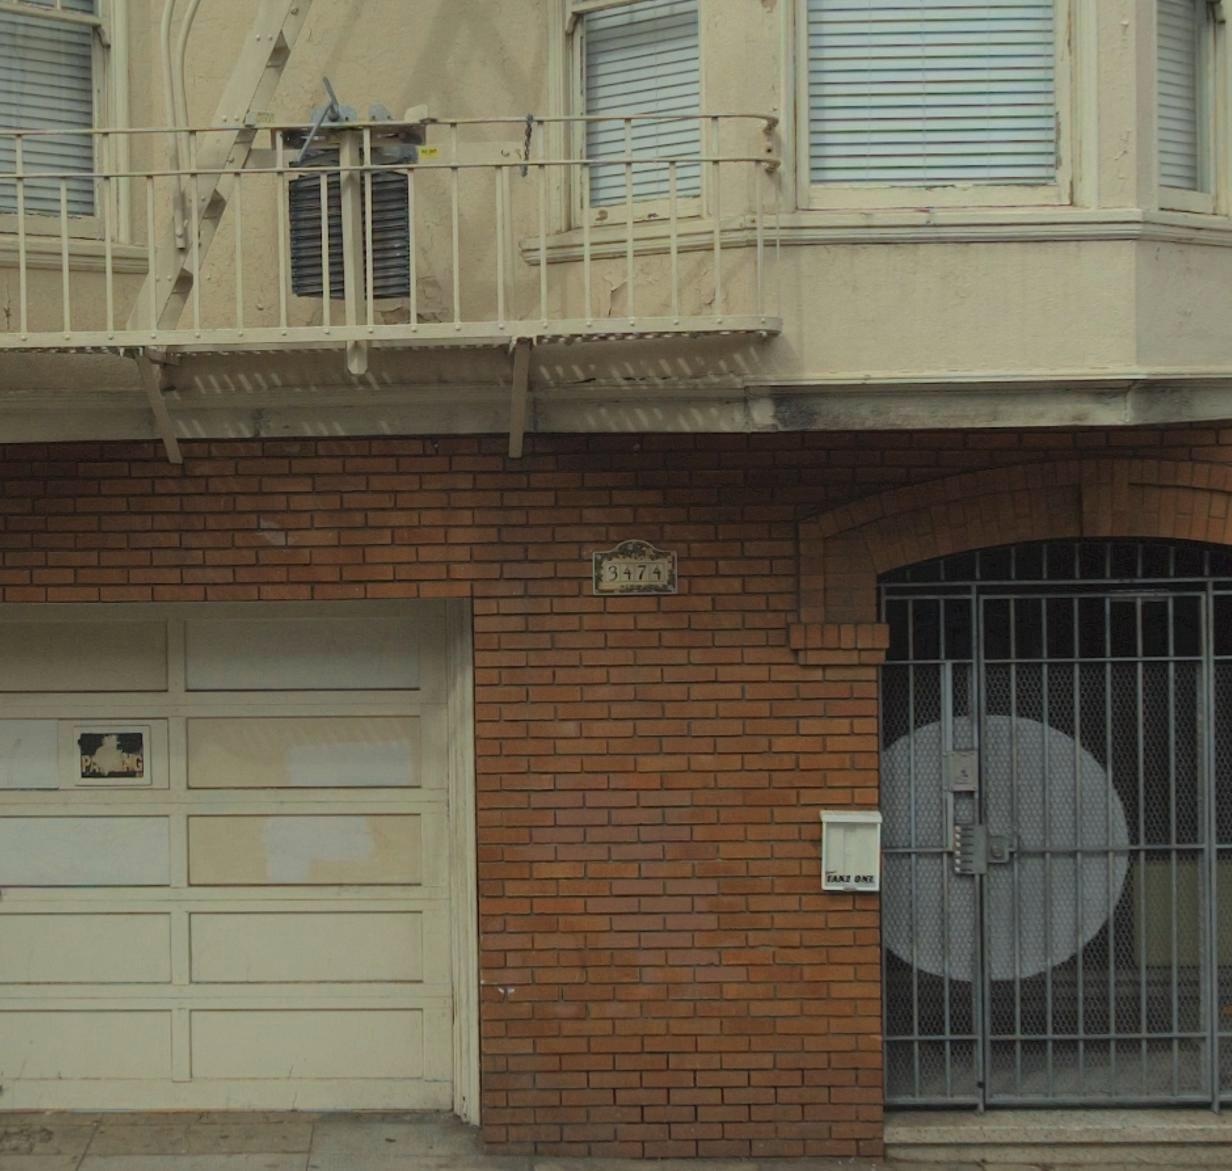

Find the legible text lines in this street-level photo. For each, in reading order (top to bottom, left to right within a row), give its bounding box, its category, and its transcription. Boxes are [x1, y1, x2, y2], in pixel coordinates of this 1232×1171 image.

[606, 564, 662, 583] StreetNumber: 3474
[80, 754, 143, 773] None: PA***NG
[826, 874, 874, 884] None: TAKE ONE